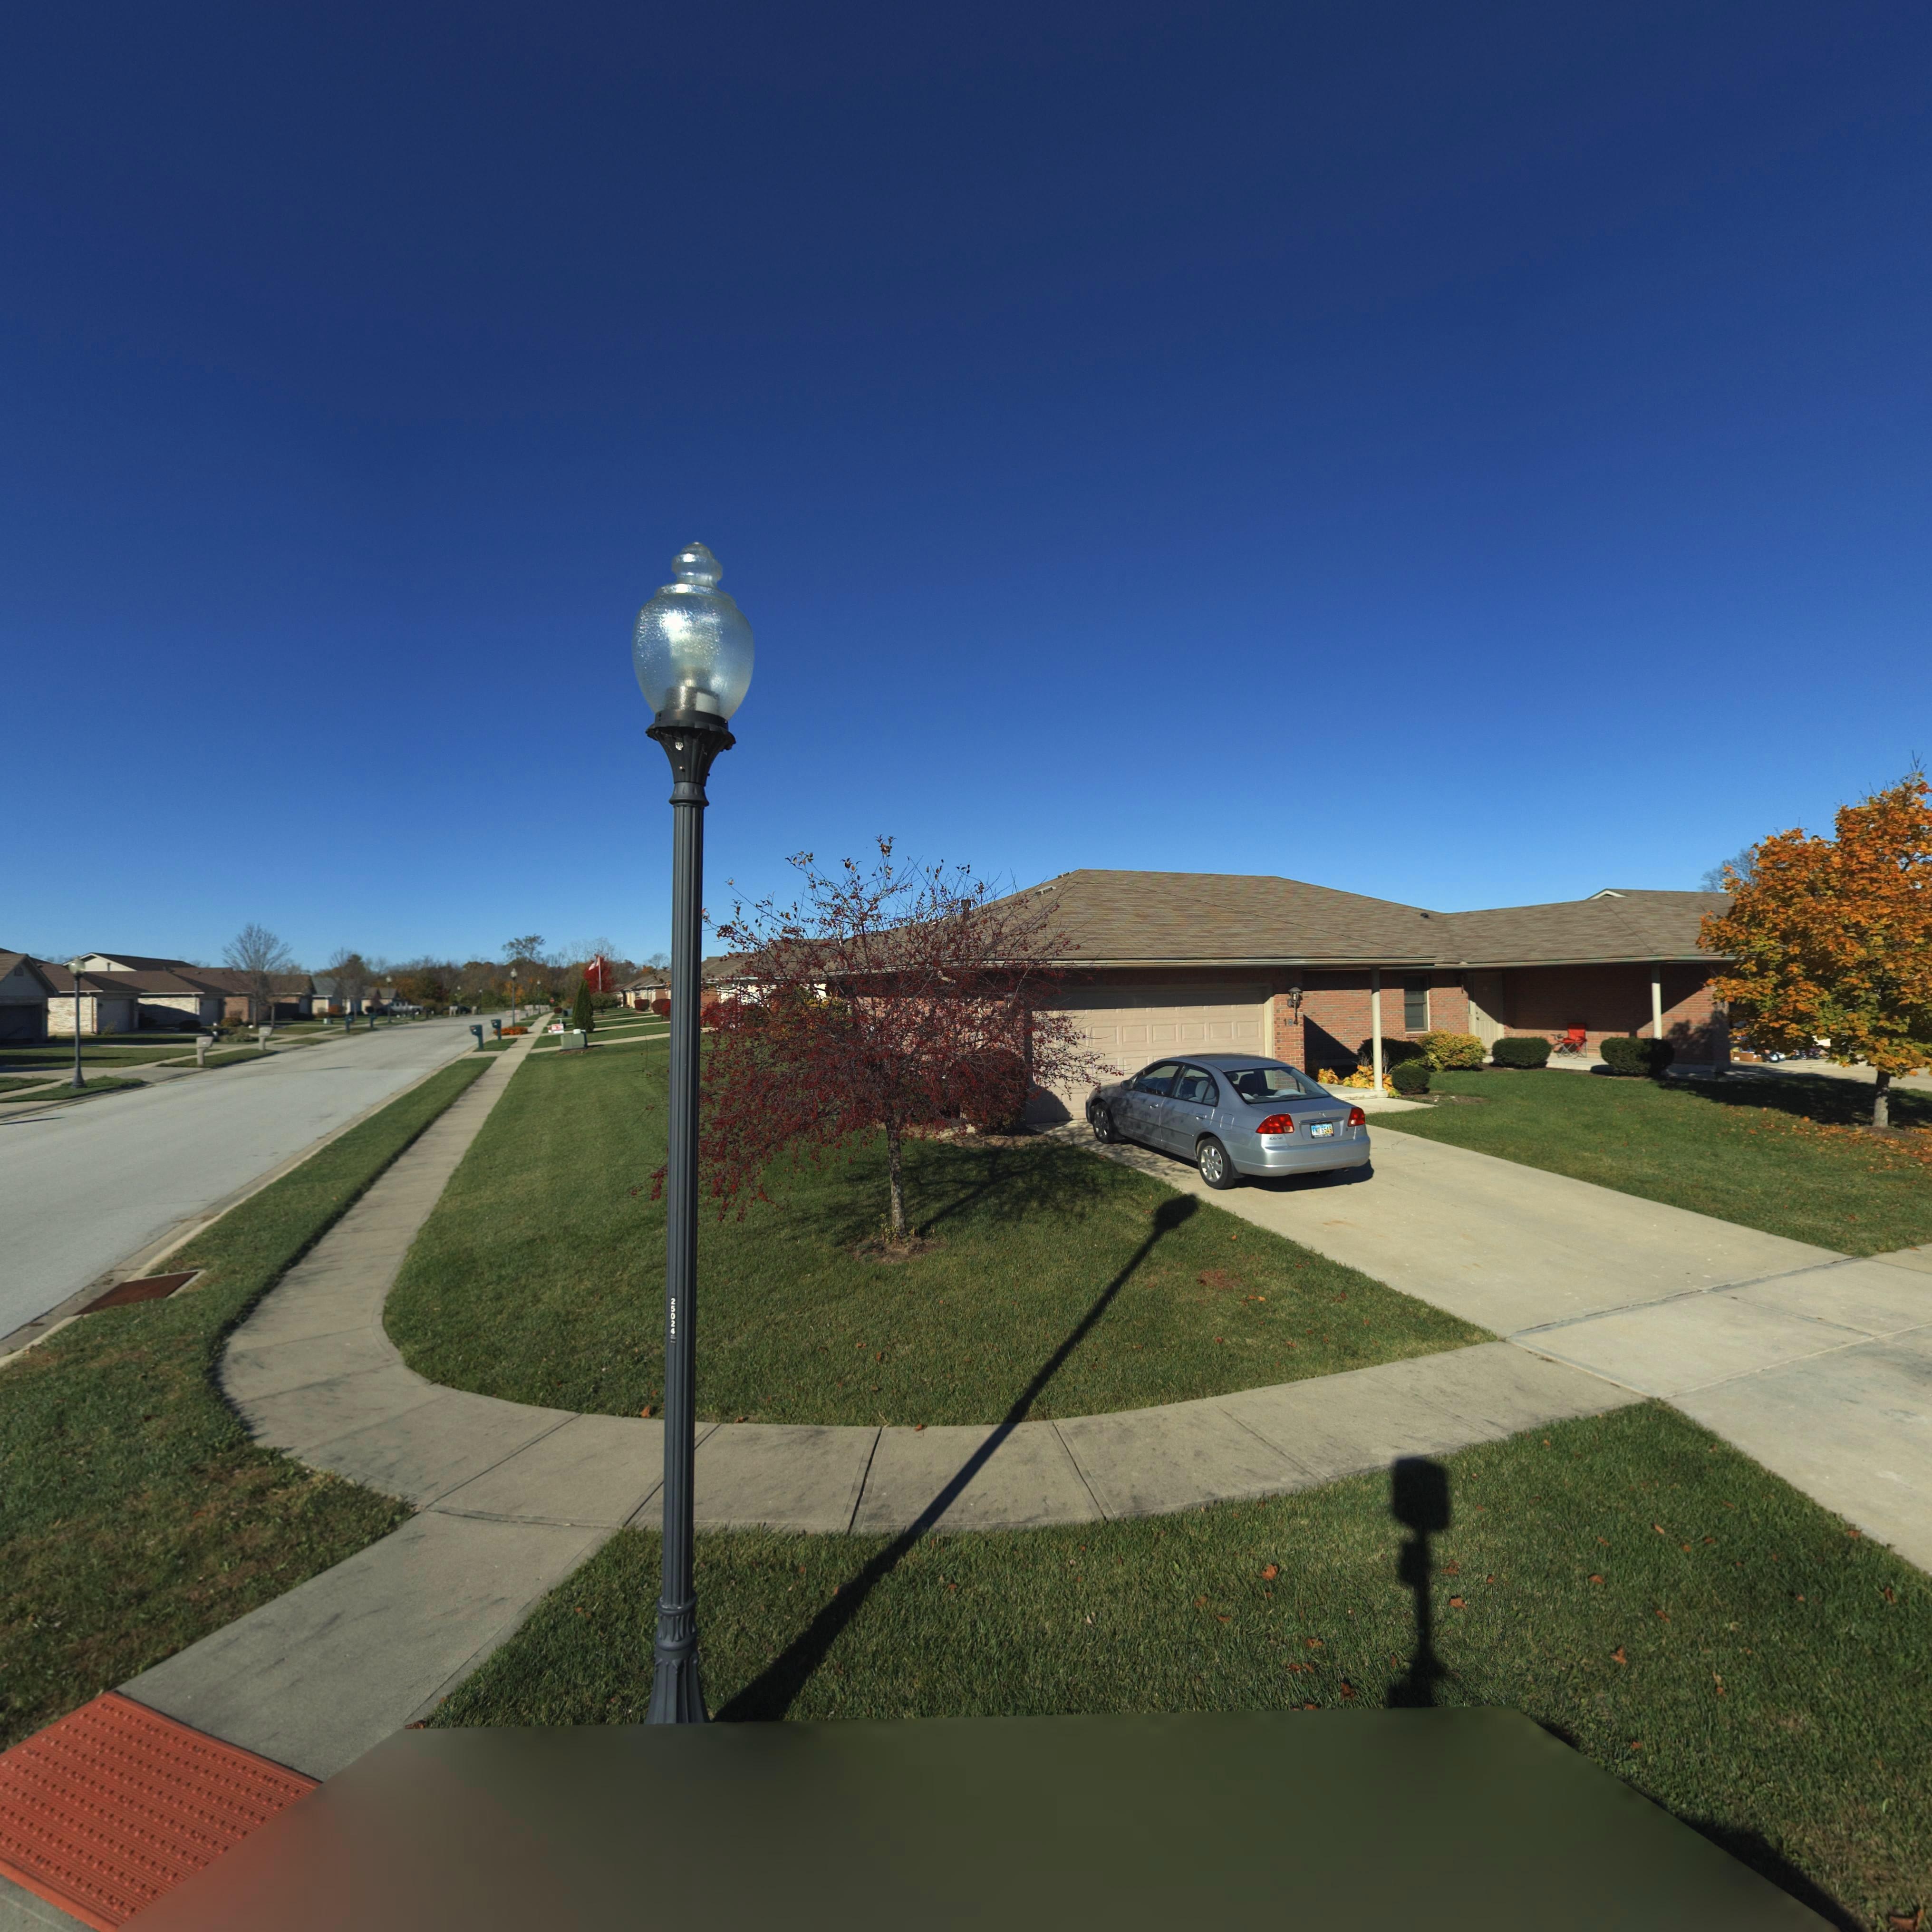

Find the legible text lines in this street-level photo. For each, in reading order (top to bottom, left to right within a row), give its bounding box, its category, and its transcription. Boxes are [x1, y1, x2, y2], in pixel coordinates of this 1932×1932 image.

[1282, 1017, 1299, 1027] StreetNumber: 184